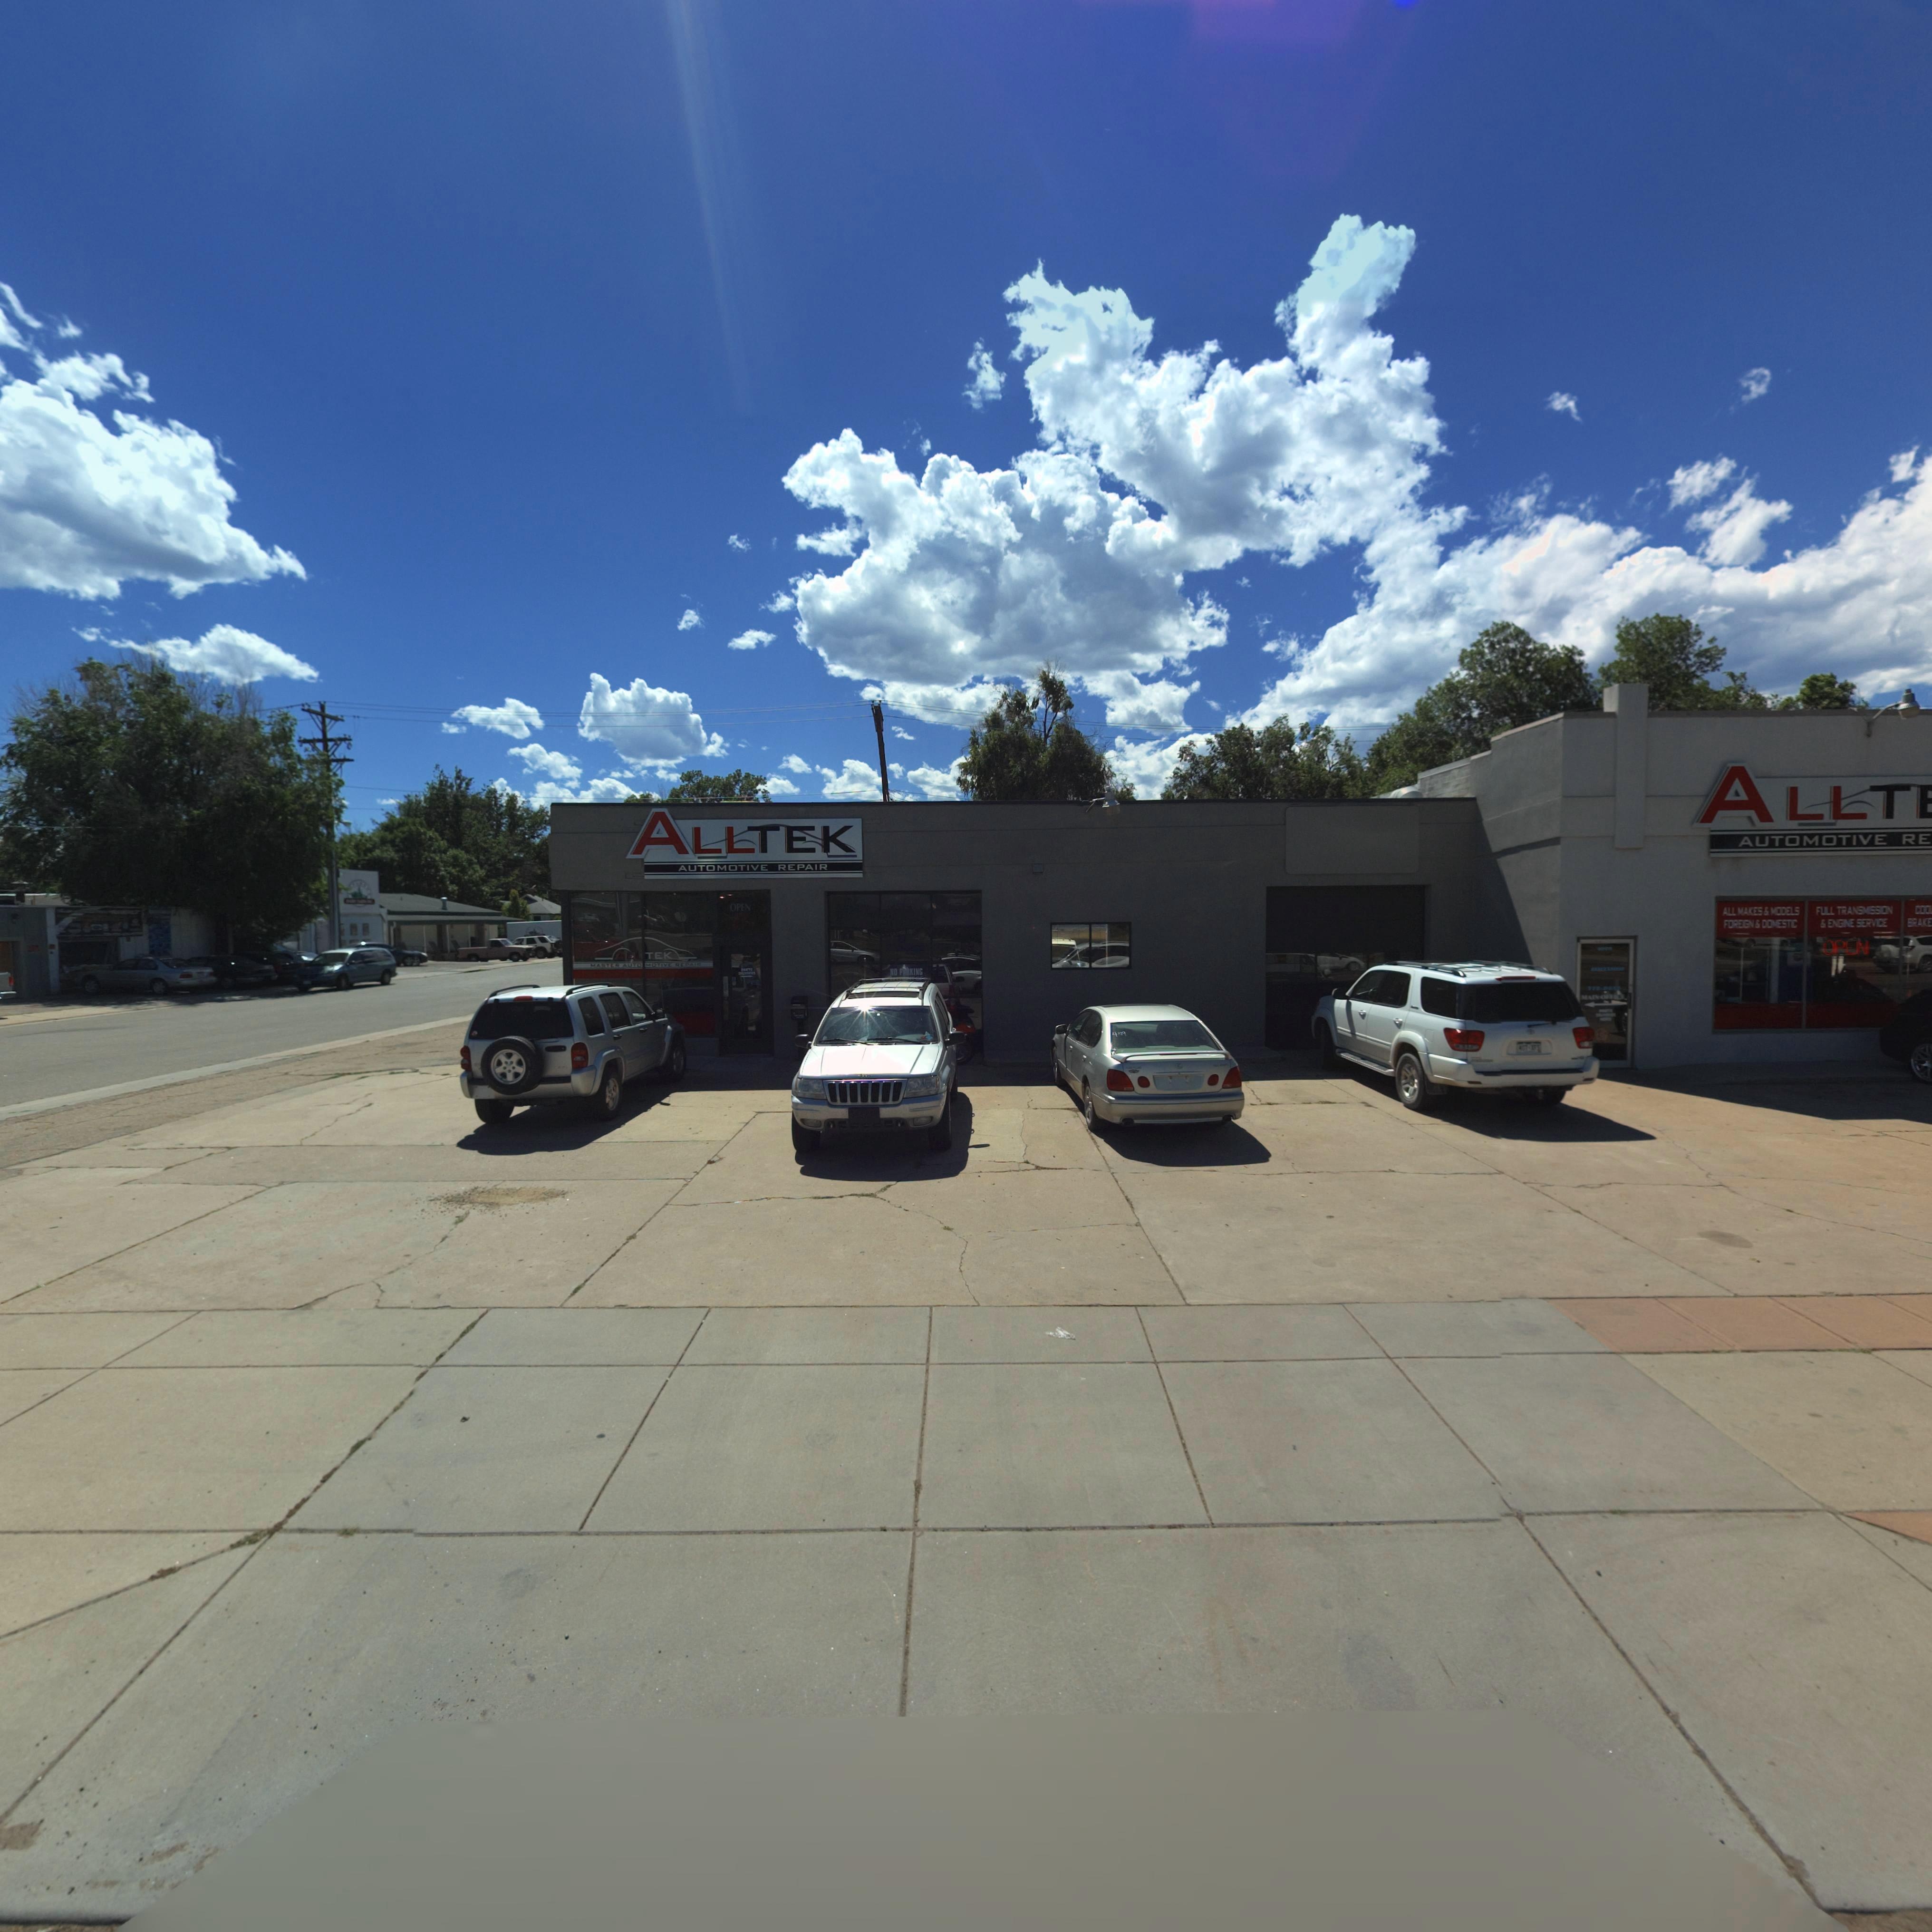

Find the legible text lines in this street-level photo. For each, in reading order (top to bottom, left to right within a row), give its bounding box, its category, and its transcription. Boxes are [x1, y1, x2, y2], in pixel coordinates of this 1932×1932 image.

[1693, 764, 1929, 825] BusinessName: ALLT*
[628, 811, 857, 857] BusinessName: ALLTEK
[613, 951, 672, 960] BusinessName: *LLTEK